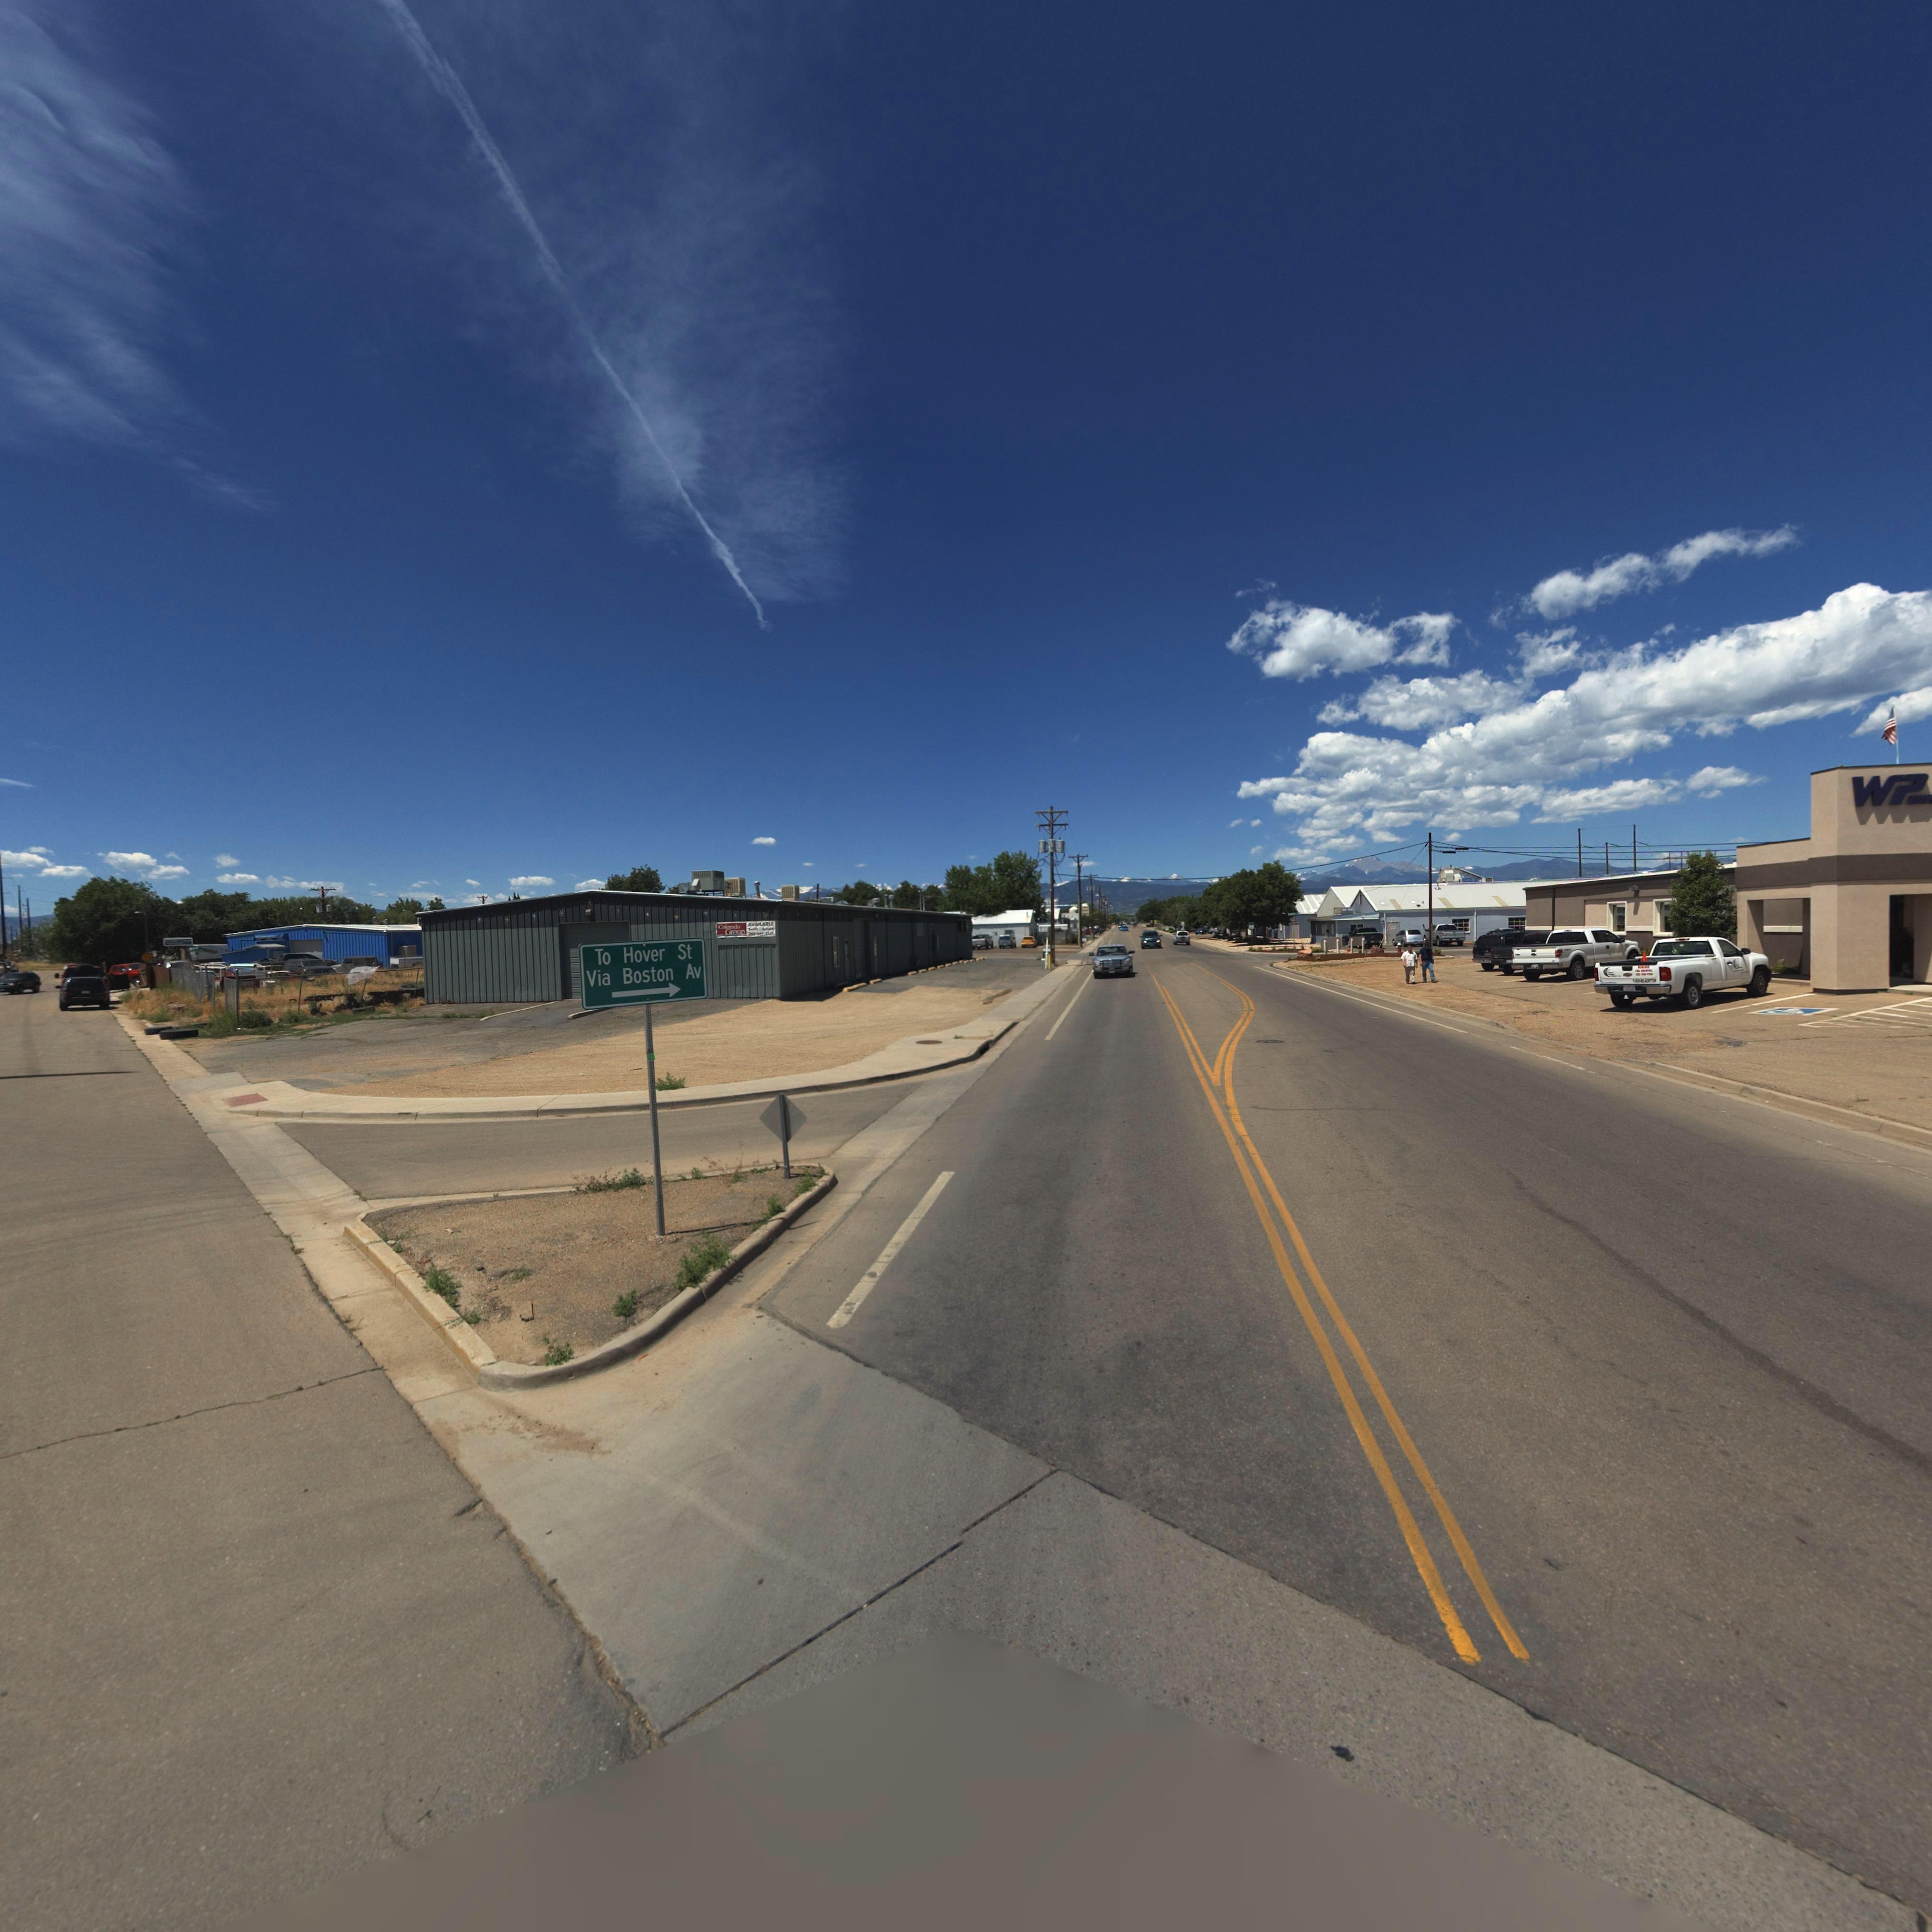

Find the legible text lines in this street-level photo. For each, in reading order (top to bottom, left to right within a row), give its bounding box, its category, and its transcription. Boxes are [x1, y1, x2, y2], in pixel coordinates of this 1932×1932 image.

[1850, 772, 1929, 807] BusinessName: WP
[623, 943, 693, 964] StreetName: Hover St
[622, 963, 702, 985] StreetName: Boston Av